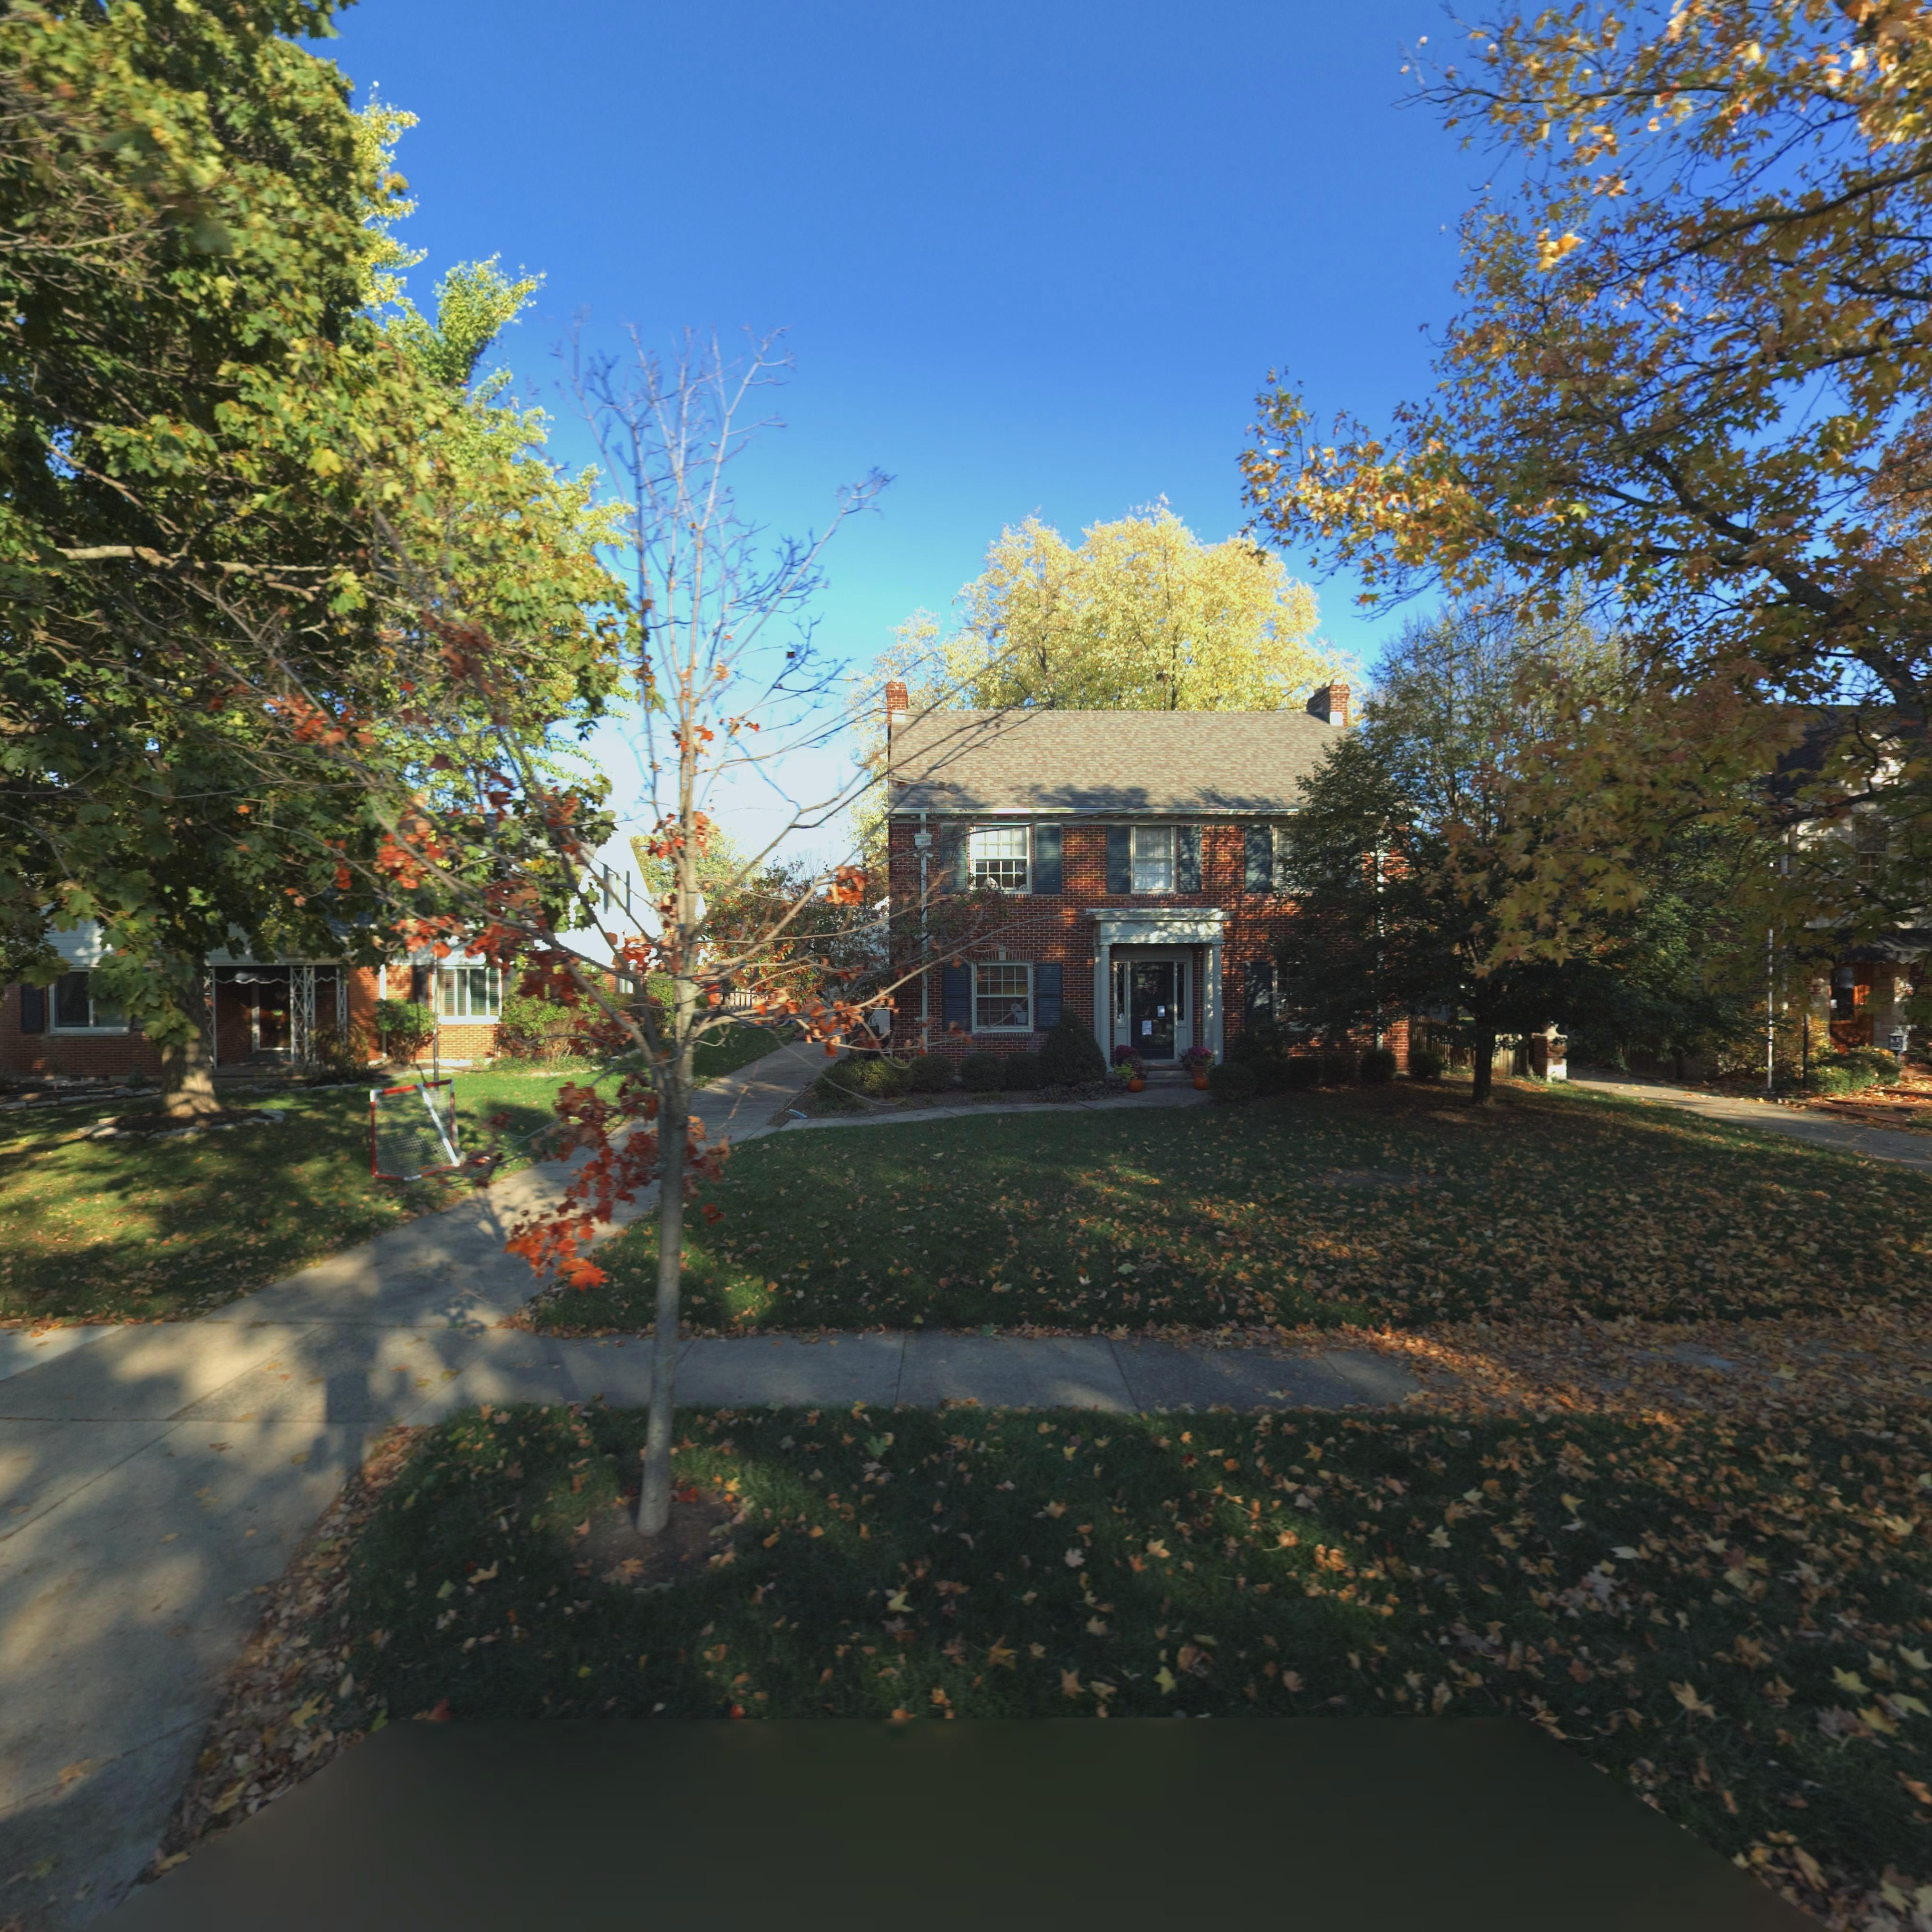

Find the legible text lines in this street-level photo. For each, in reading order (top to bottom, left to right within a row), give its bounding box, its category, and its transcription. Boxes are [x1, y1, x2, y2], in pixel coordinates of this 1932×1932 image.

[1152, 924, 1169, 932] StreetNumber: 546